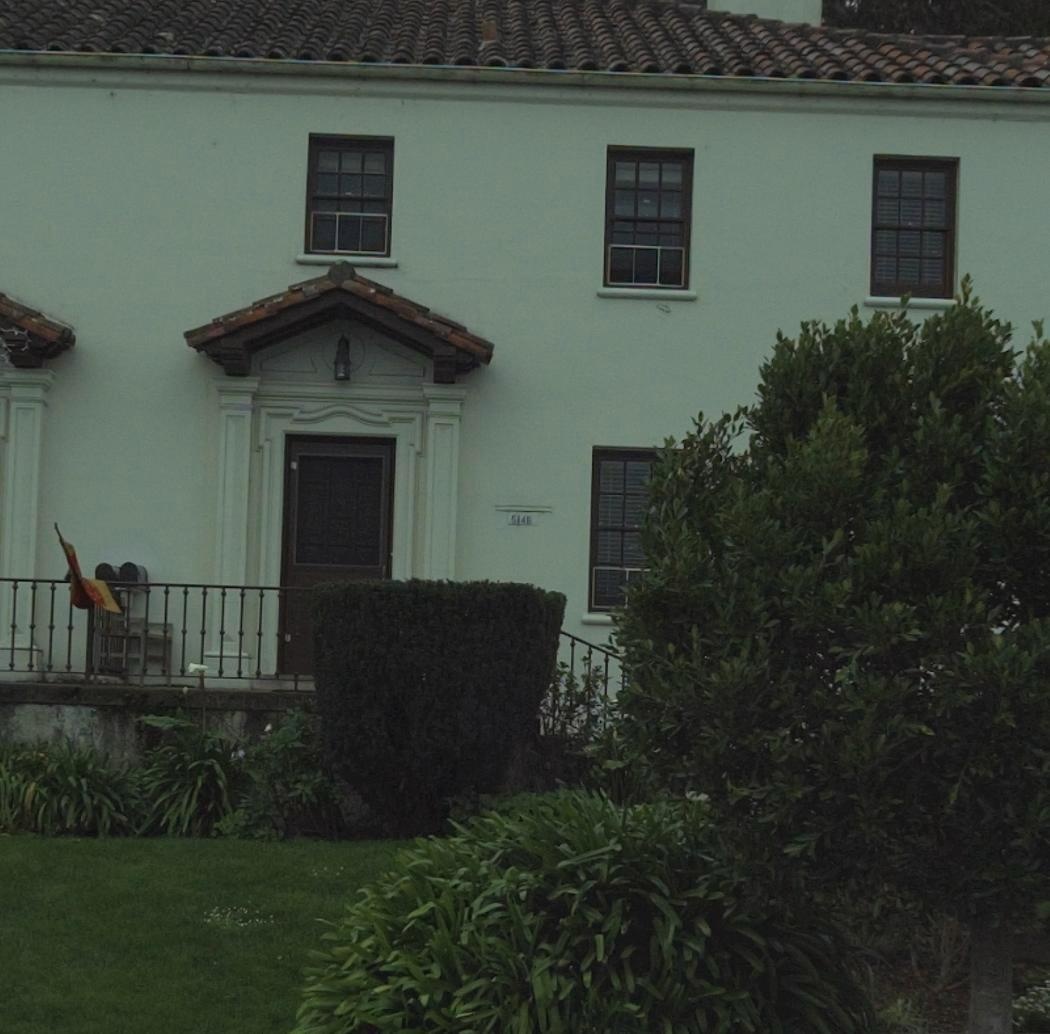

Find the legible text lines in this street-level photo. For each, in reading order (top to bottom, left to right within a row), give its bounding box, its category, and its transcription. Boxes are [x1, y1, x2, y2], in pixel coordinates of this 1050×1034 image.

[510, 514, 527, 525] StreetNumber: 514